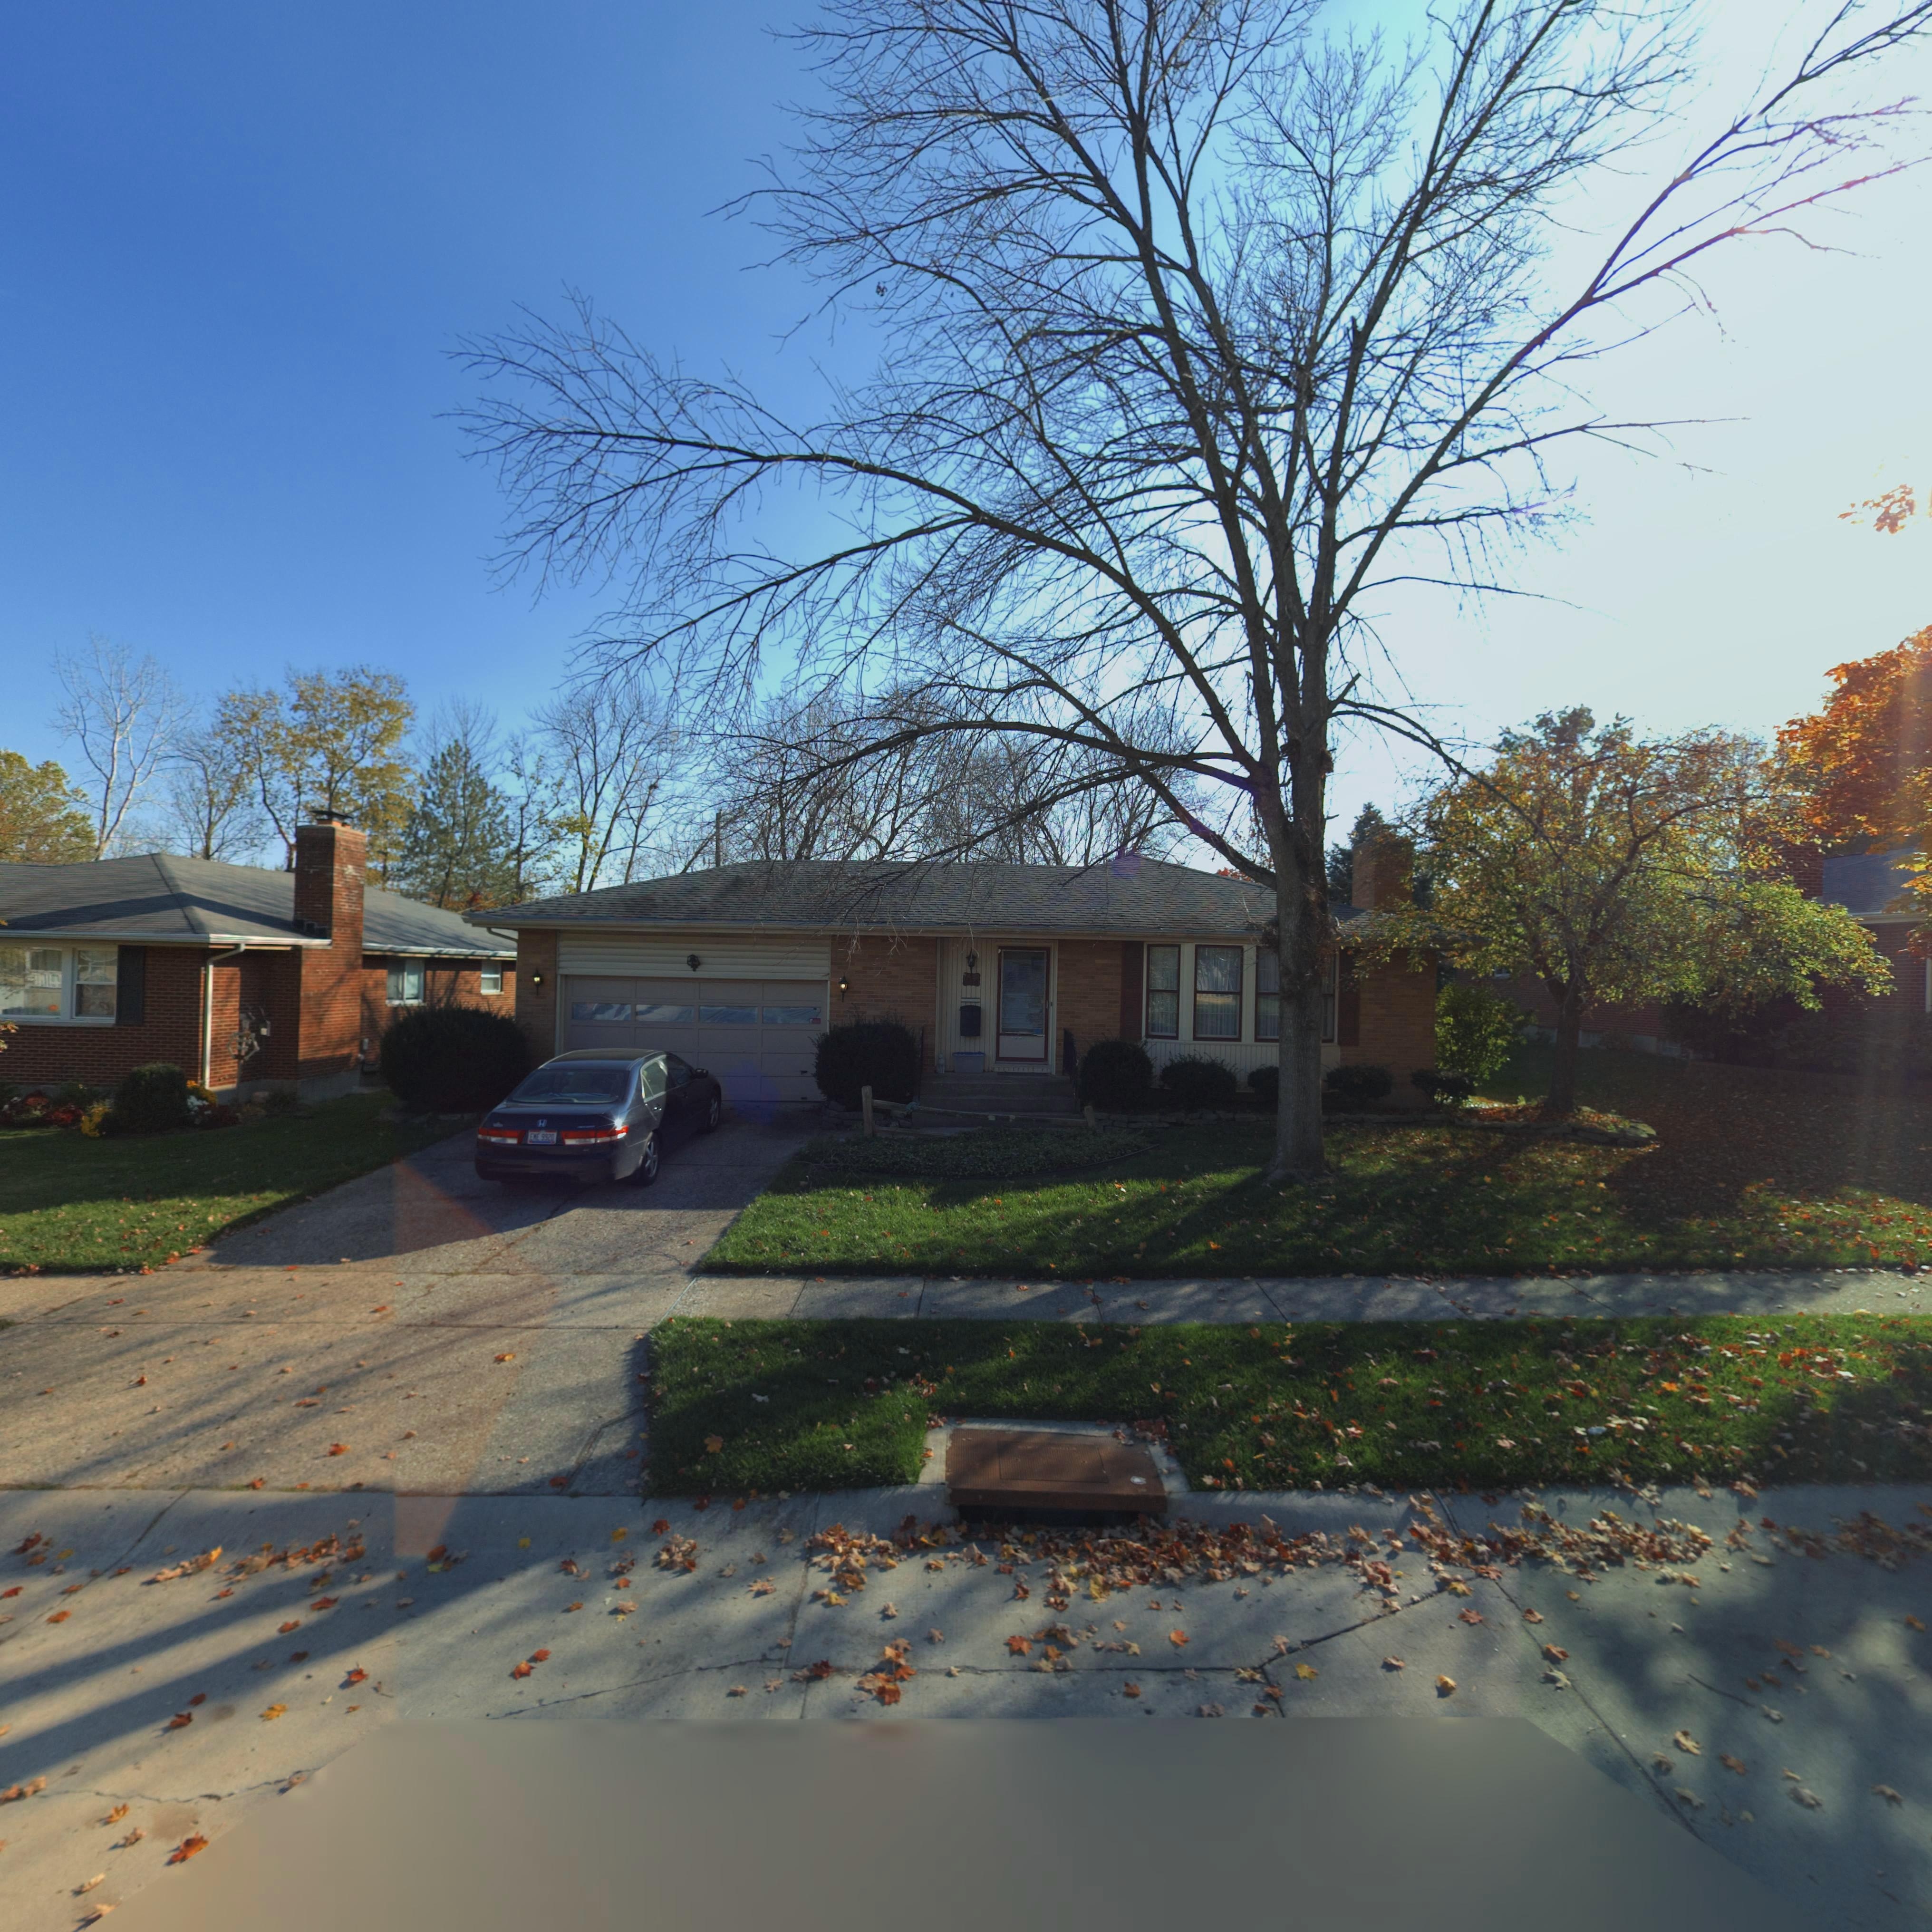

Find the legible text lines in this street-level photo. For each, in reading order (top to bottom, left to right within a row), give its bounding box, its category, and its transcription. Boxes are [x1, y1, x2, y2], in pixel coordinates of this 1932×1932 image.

[964, 974, 979, 986] StreetNumber: 634